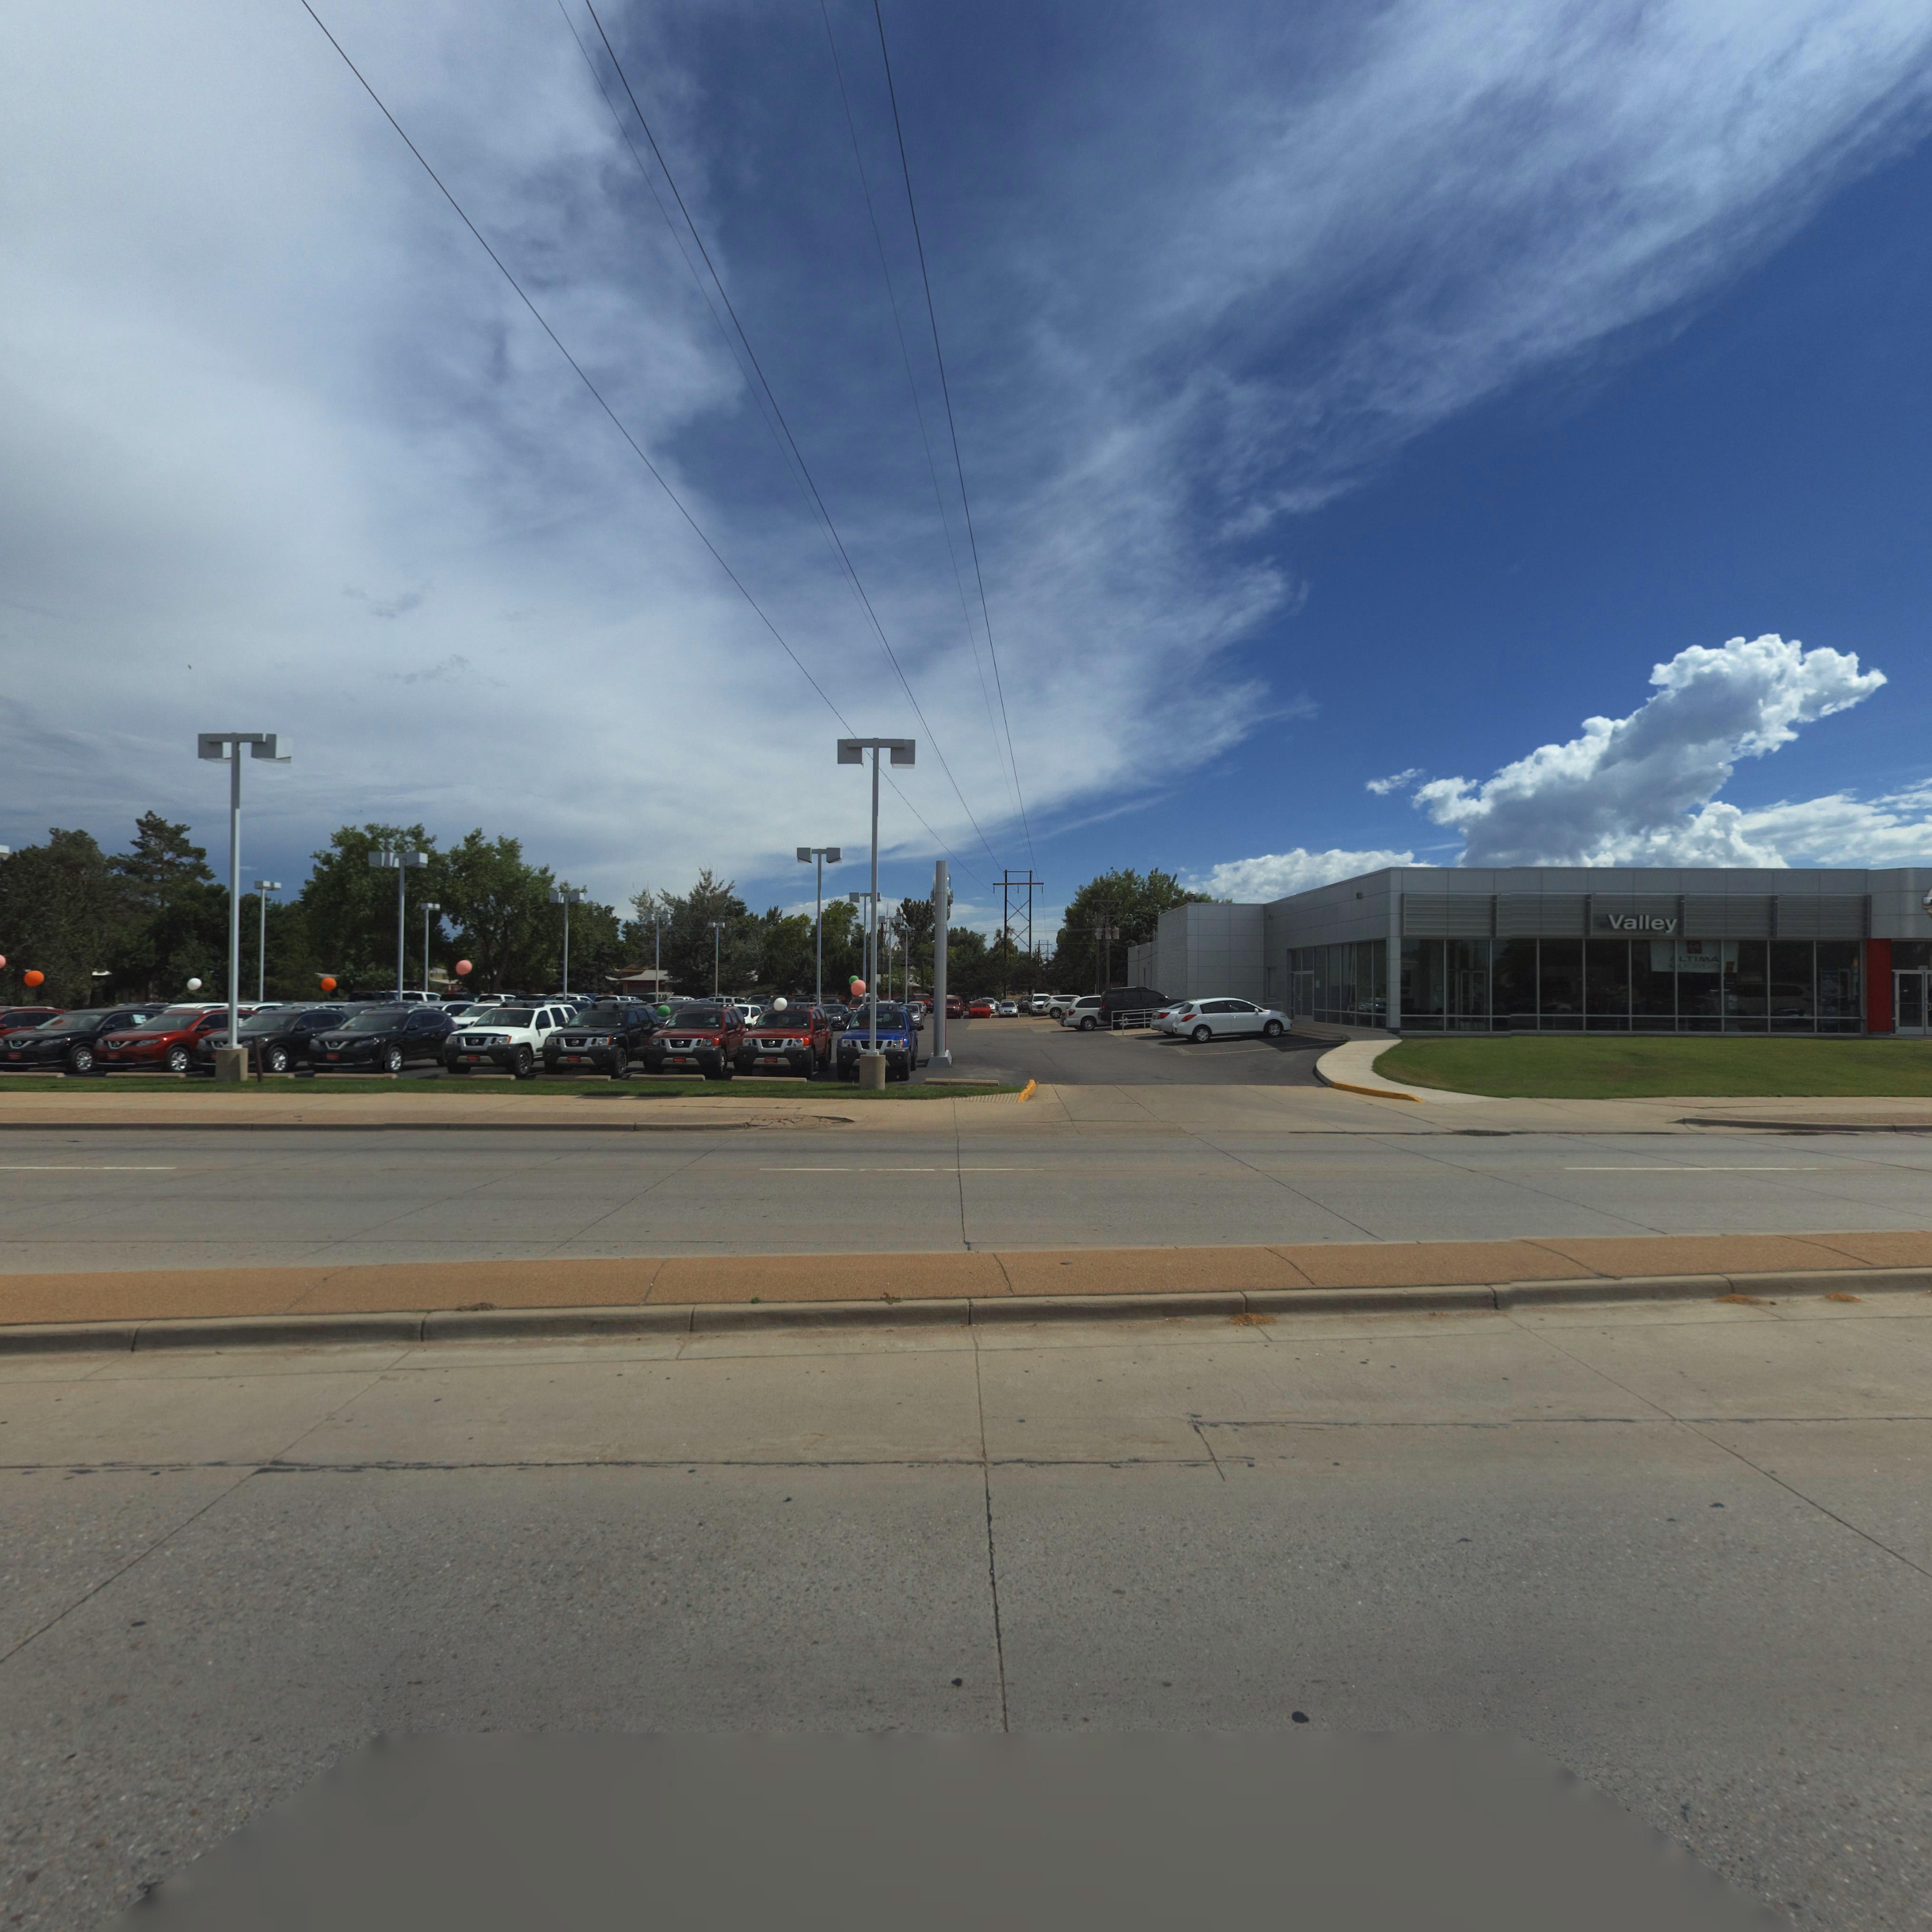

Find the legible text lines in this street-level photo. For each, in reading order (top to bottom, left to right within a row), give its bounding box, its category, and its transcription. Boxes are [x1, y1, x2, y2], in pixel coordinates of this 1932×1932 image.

[1606, 914, 1678, 934] BusinessName: Valley